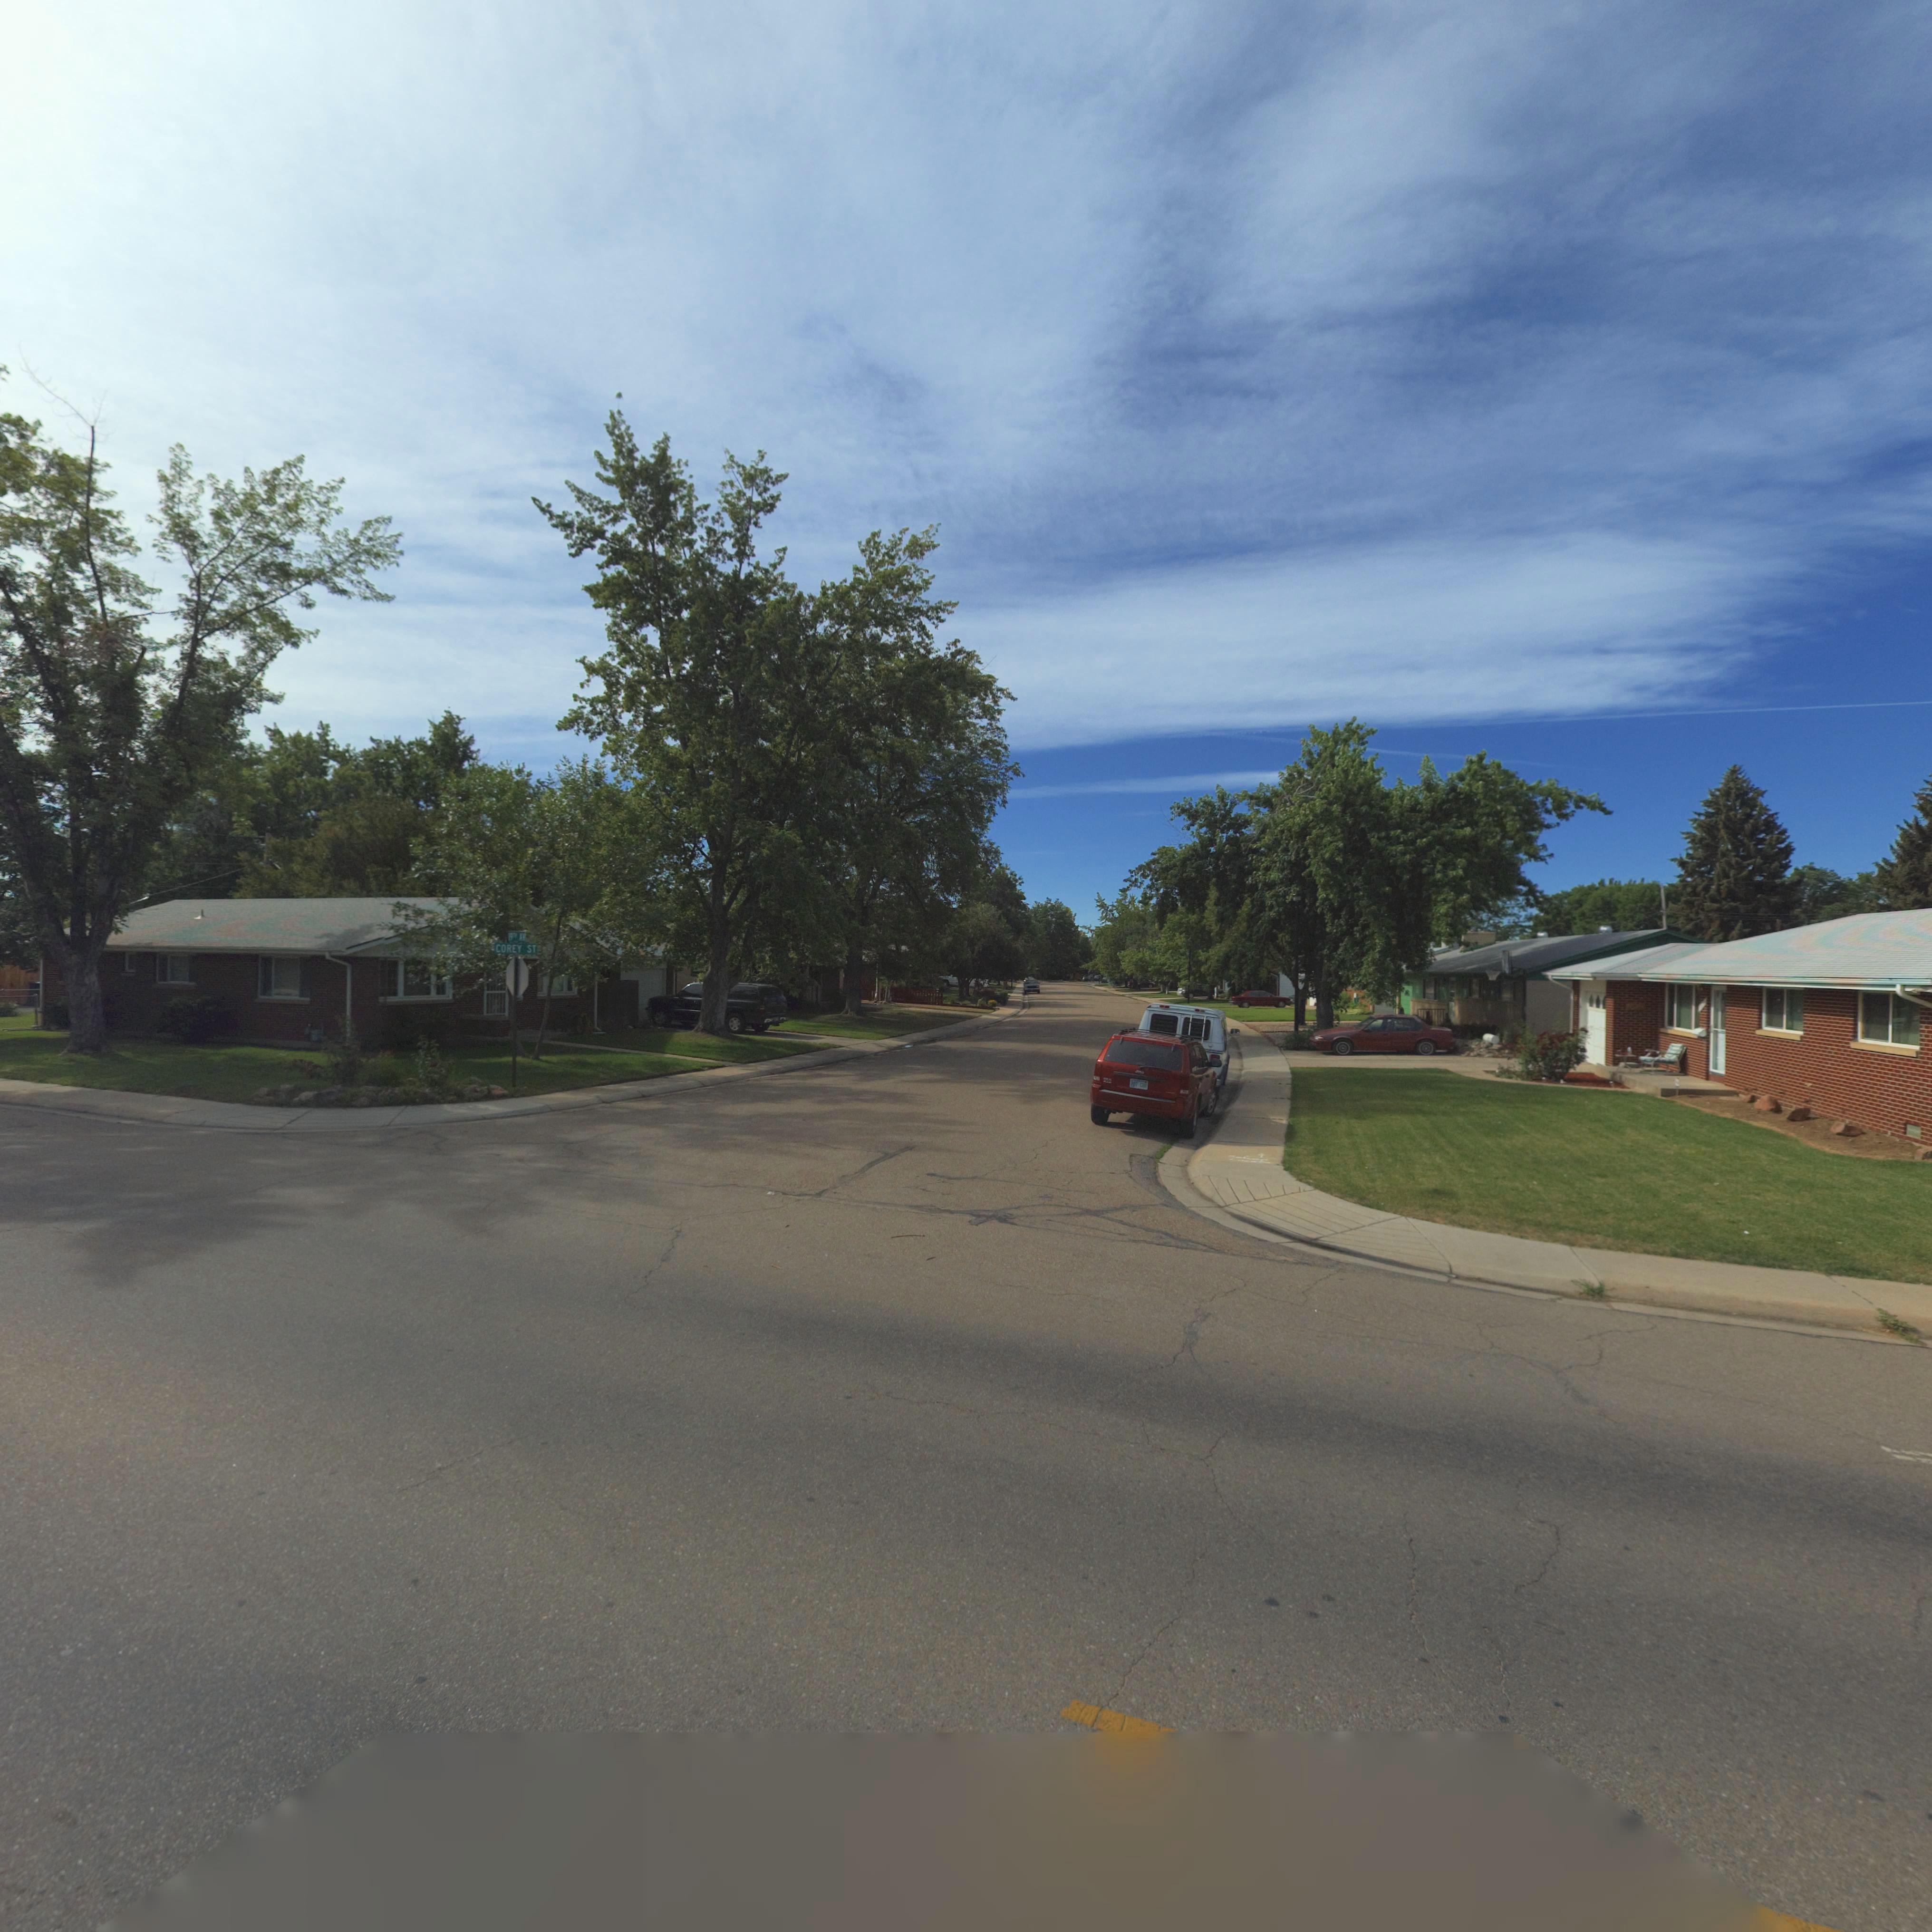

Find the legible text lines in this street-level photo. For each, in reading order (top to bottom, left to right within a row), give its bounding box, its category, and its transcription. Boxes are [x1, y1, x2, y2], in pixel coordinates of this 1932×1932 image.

[508, 932, 526, 941] StreetName: 19** AV
[496, 944, 537, 953] StreetName: COREY ST